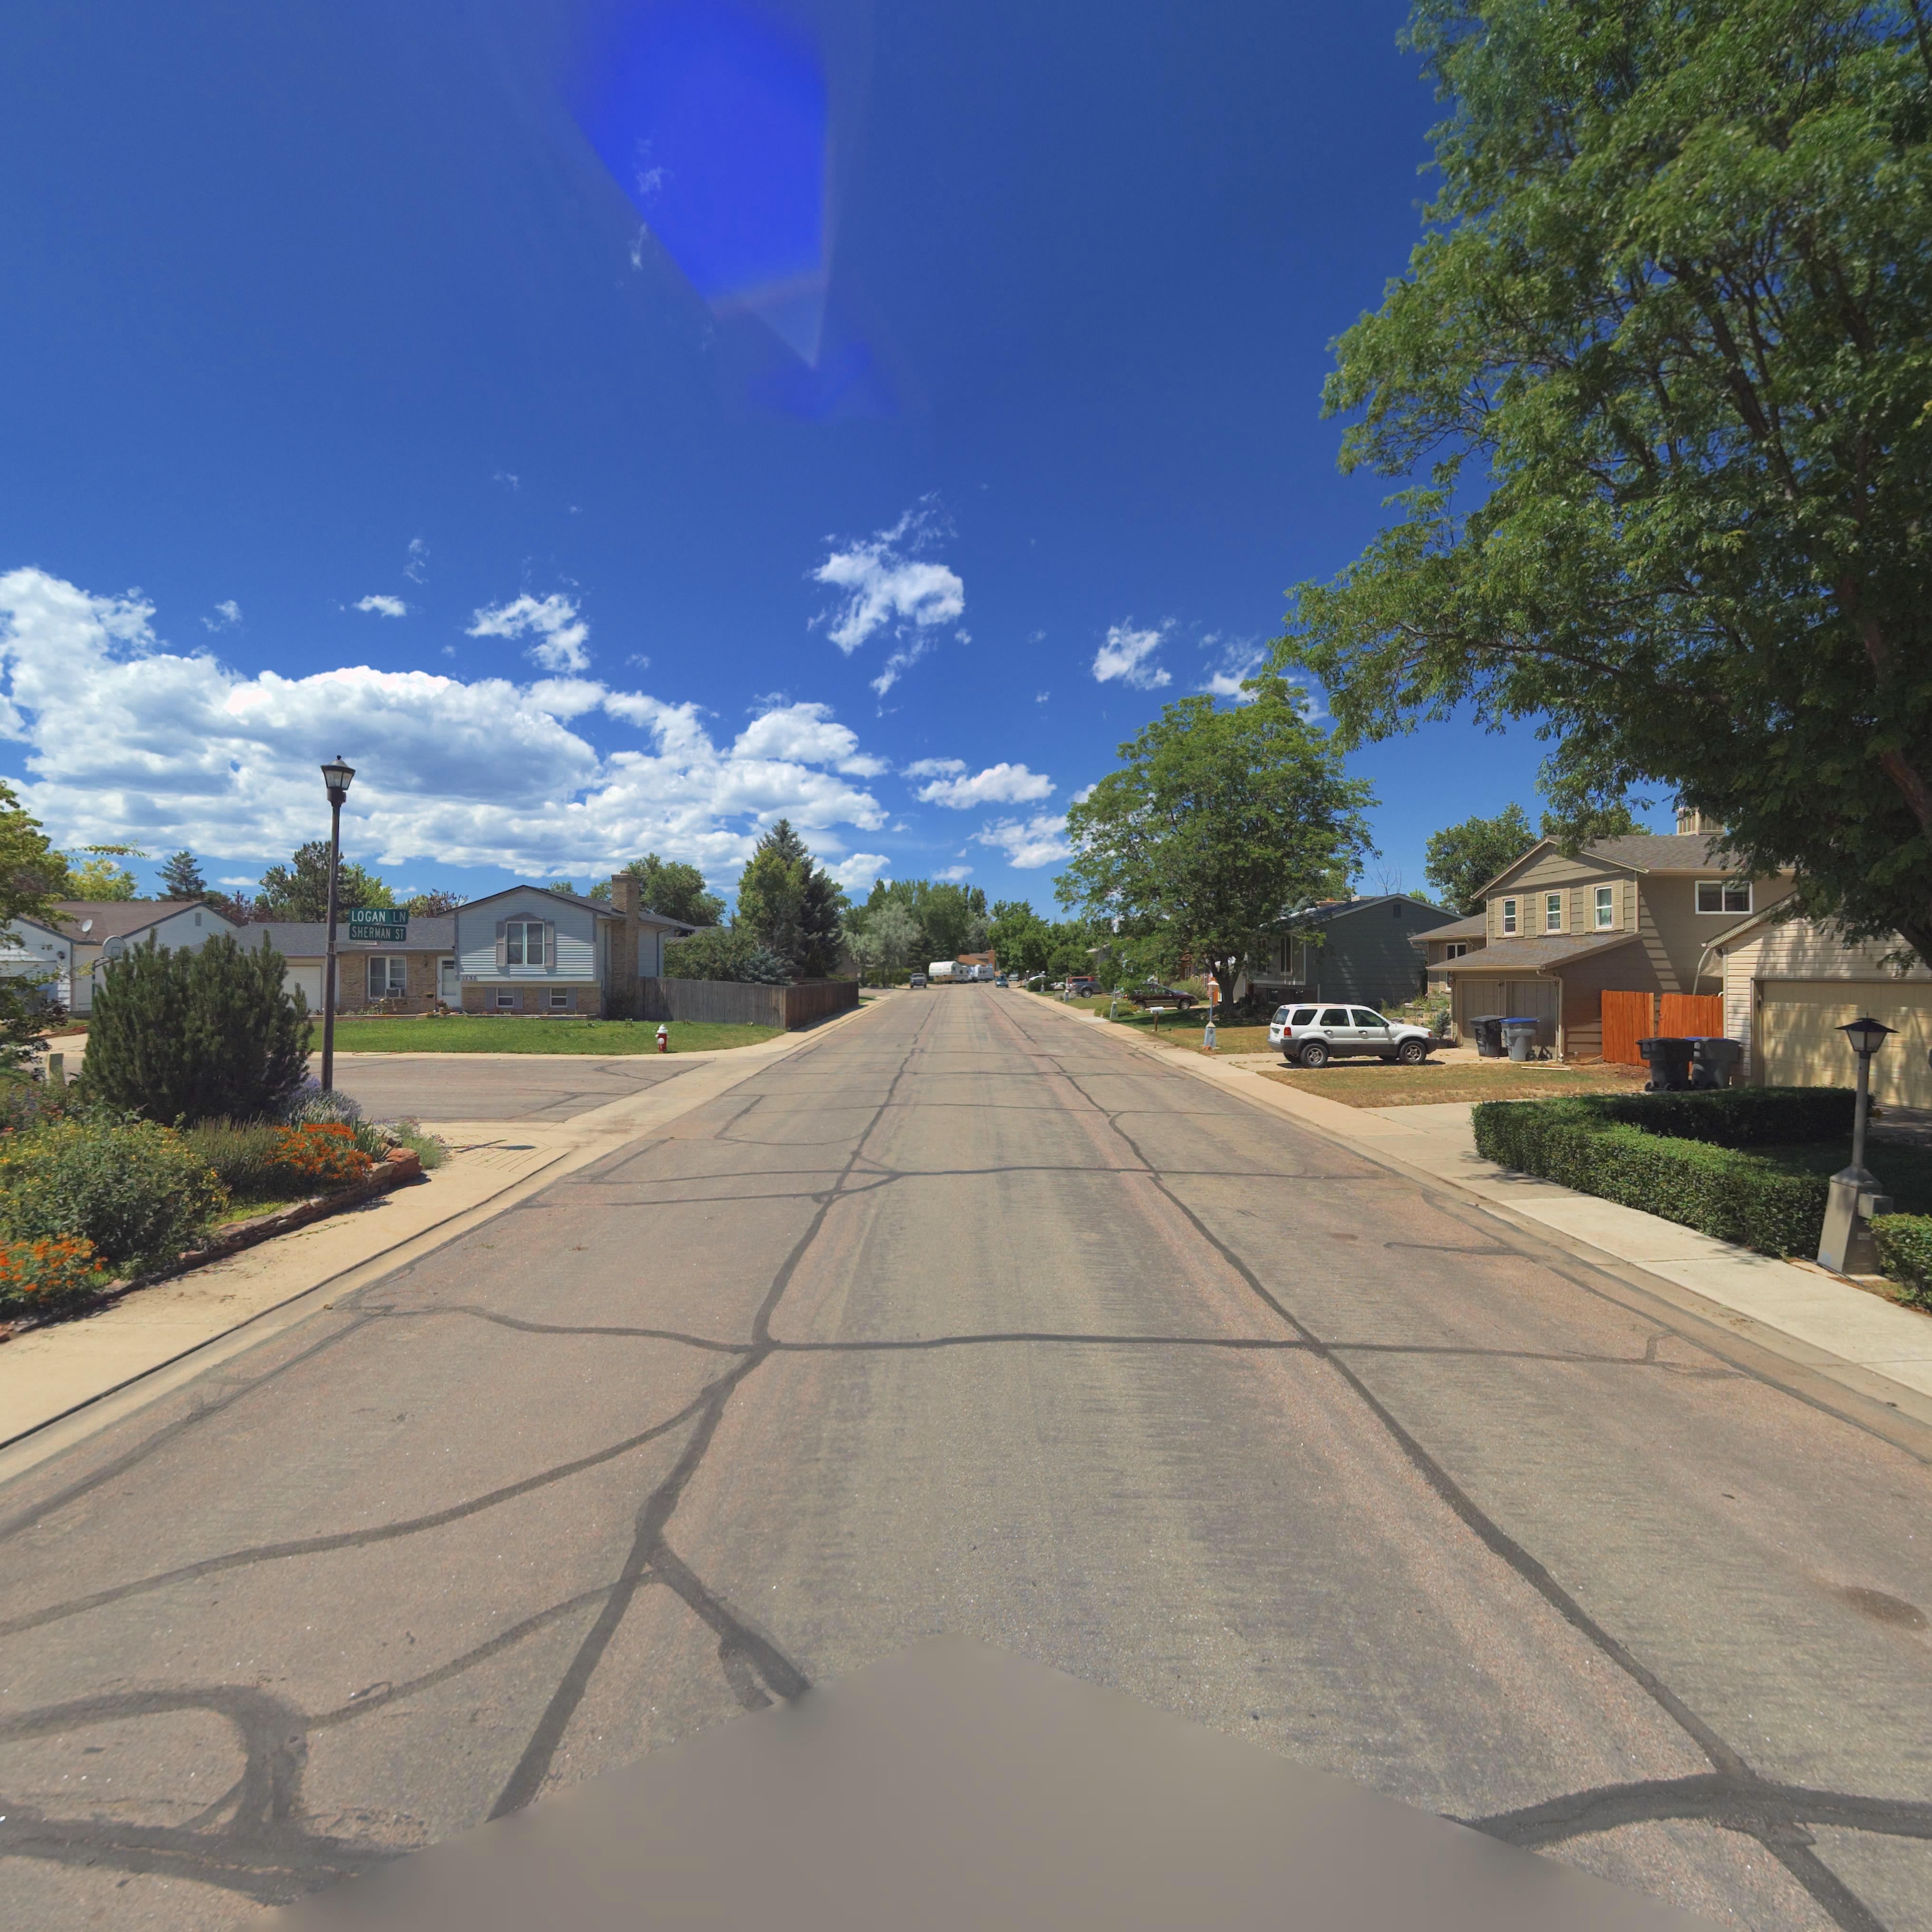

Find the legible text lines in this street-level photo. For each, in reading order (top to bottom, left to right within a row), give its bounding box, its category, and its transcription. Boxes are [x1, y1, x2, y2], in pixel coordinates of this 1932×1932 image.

[351, 910, 406, 923] StreetName: LOGAN LN
[350, 926, 404, 940] StreetName: SHERMAN ST
[461, 974, 477, 981] StreetNumber: *137